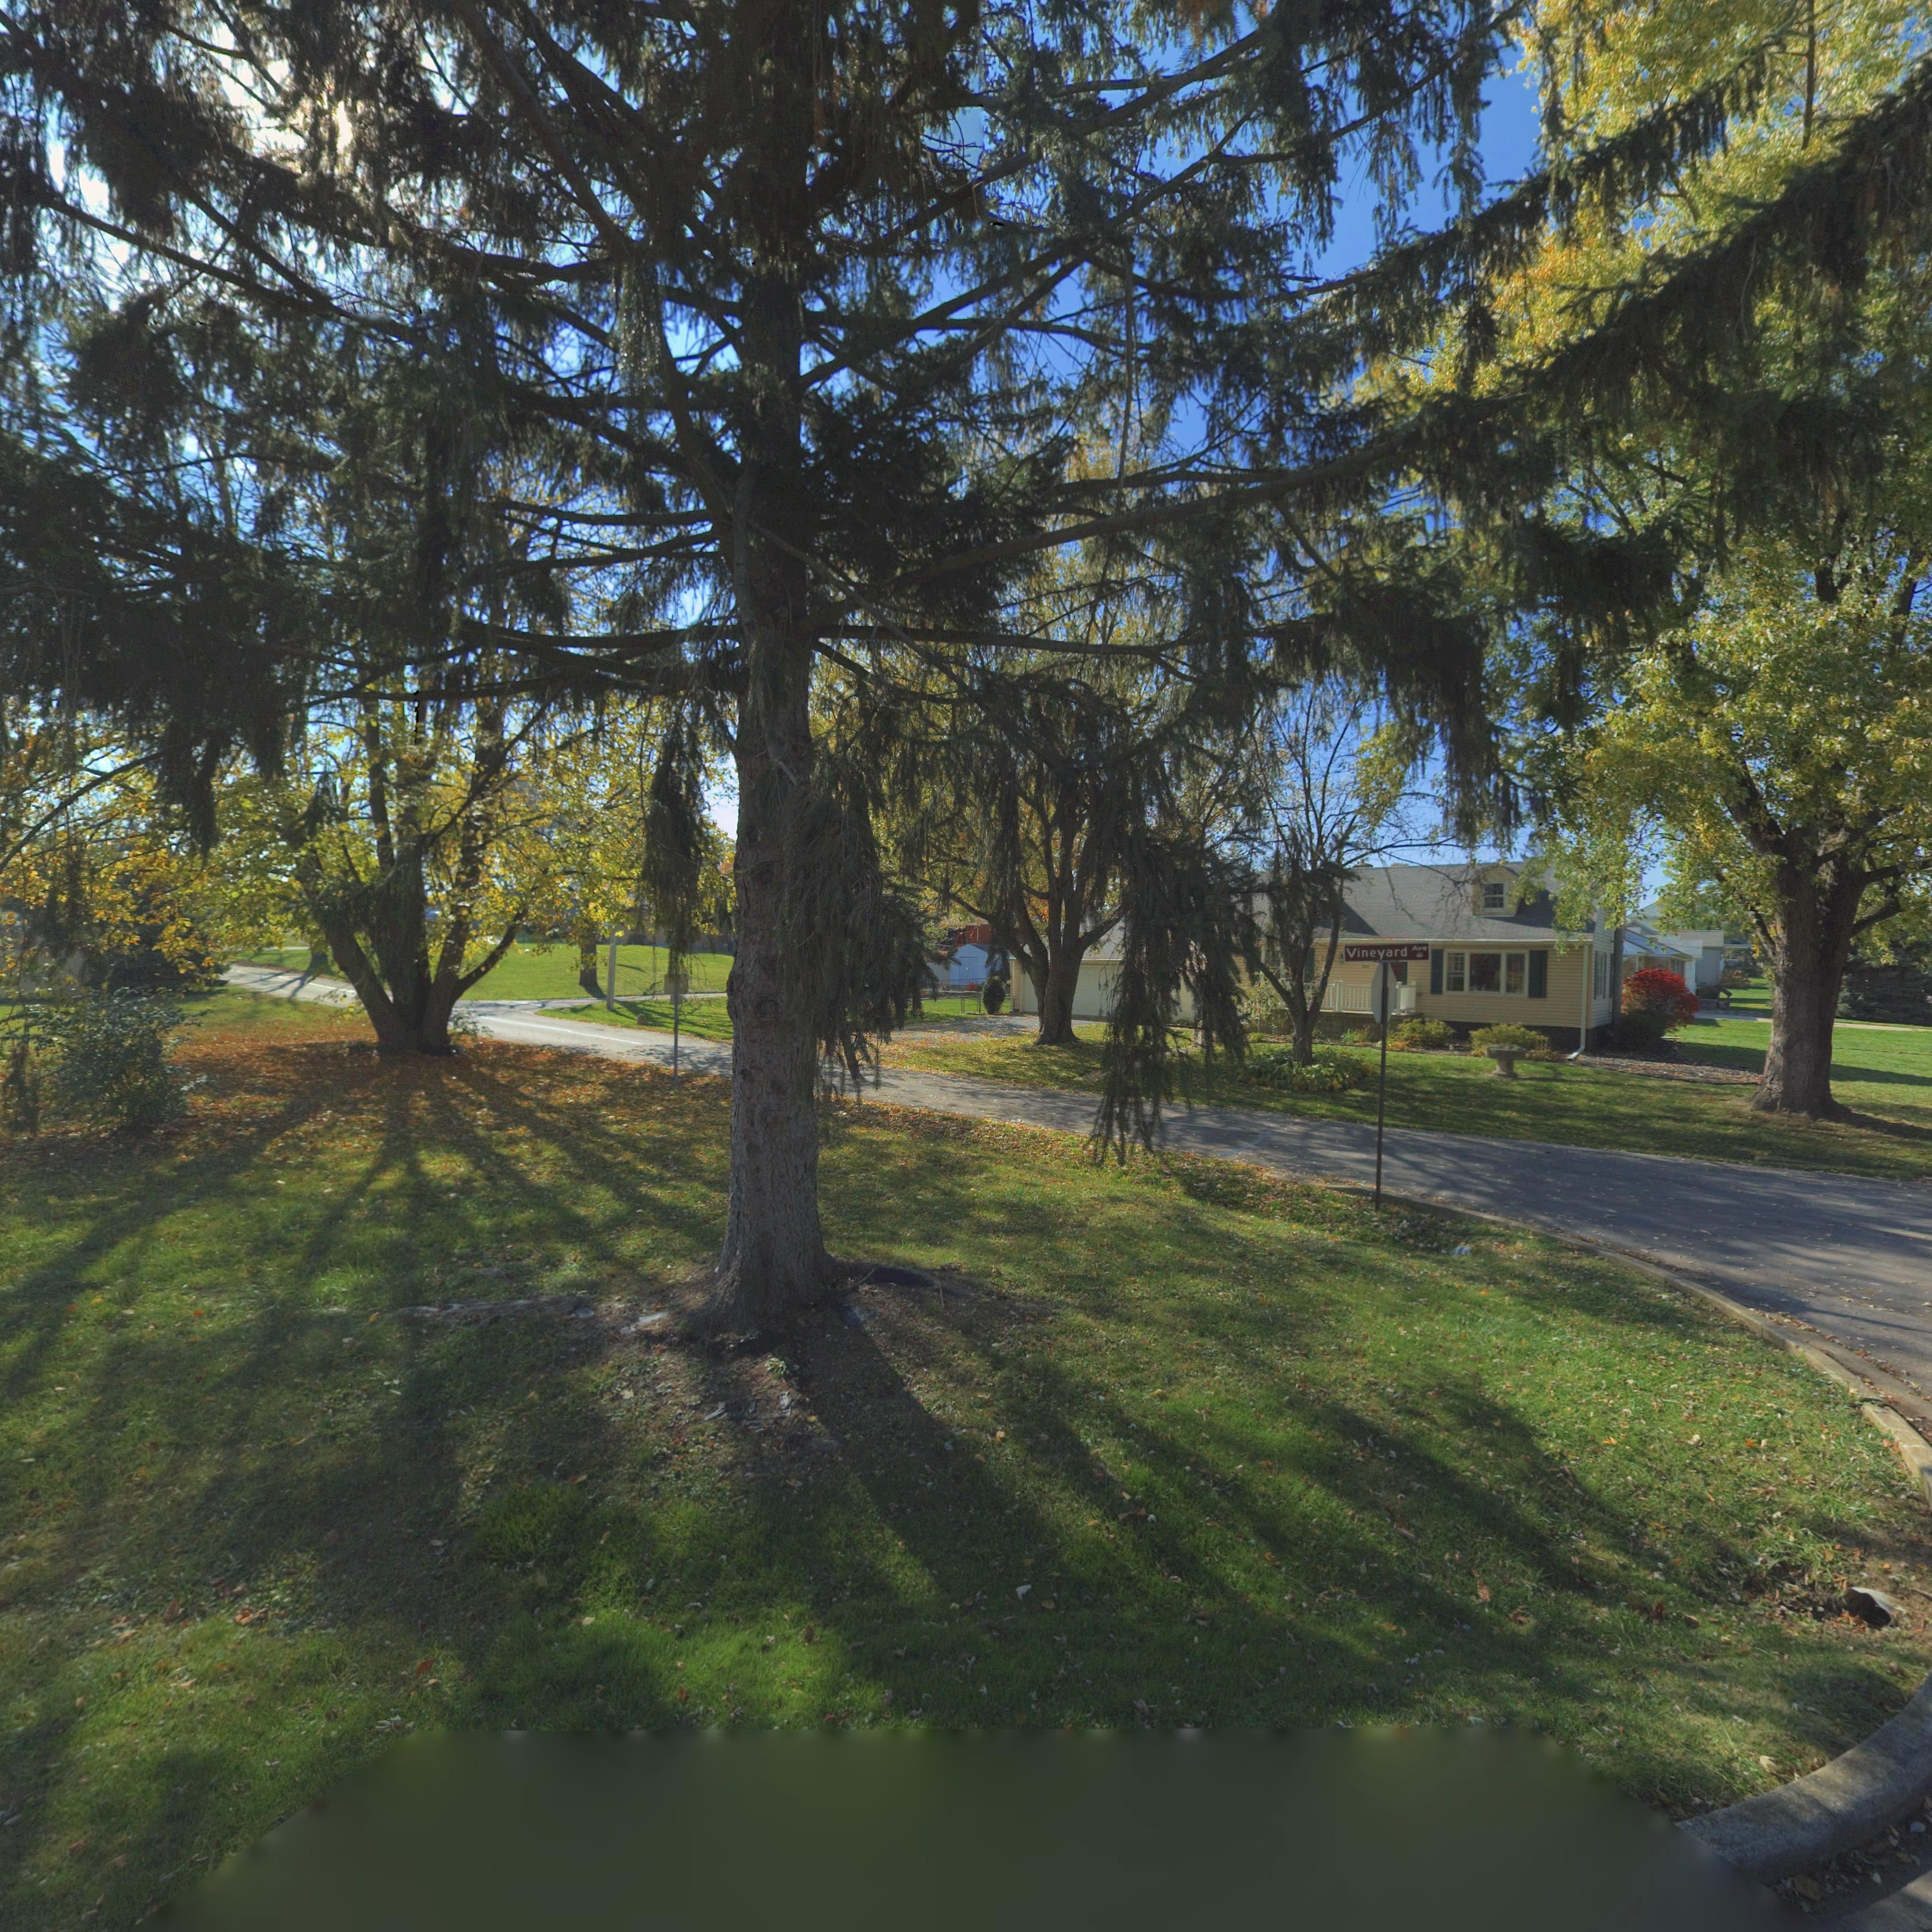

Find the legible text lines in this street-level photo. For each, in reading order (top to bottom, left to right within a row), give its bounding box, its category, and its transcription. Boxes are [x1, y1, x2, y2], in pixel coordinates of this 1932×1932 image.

[1343, 944, 1429, 963] StreetName: Vineyard Ave